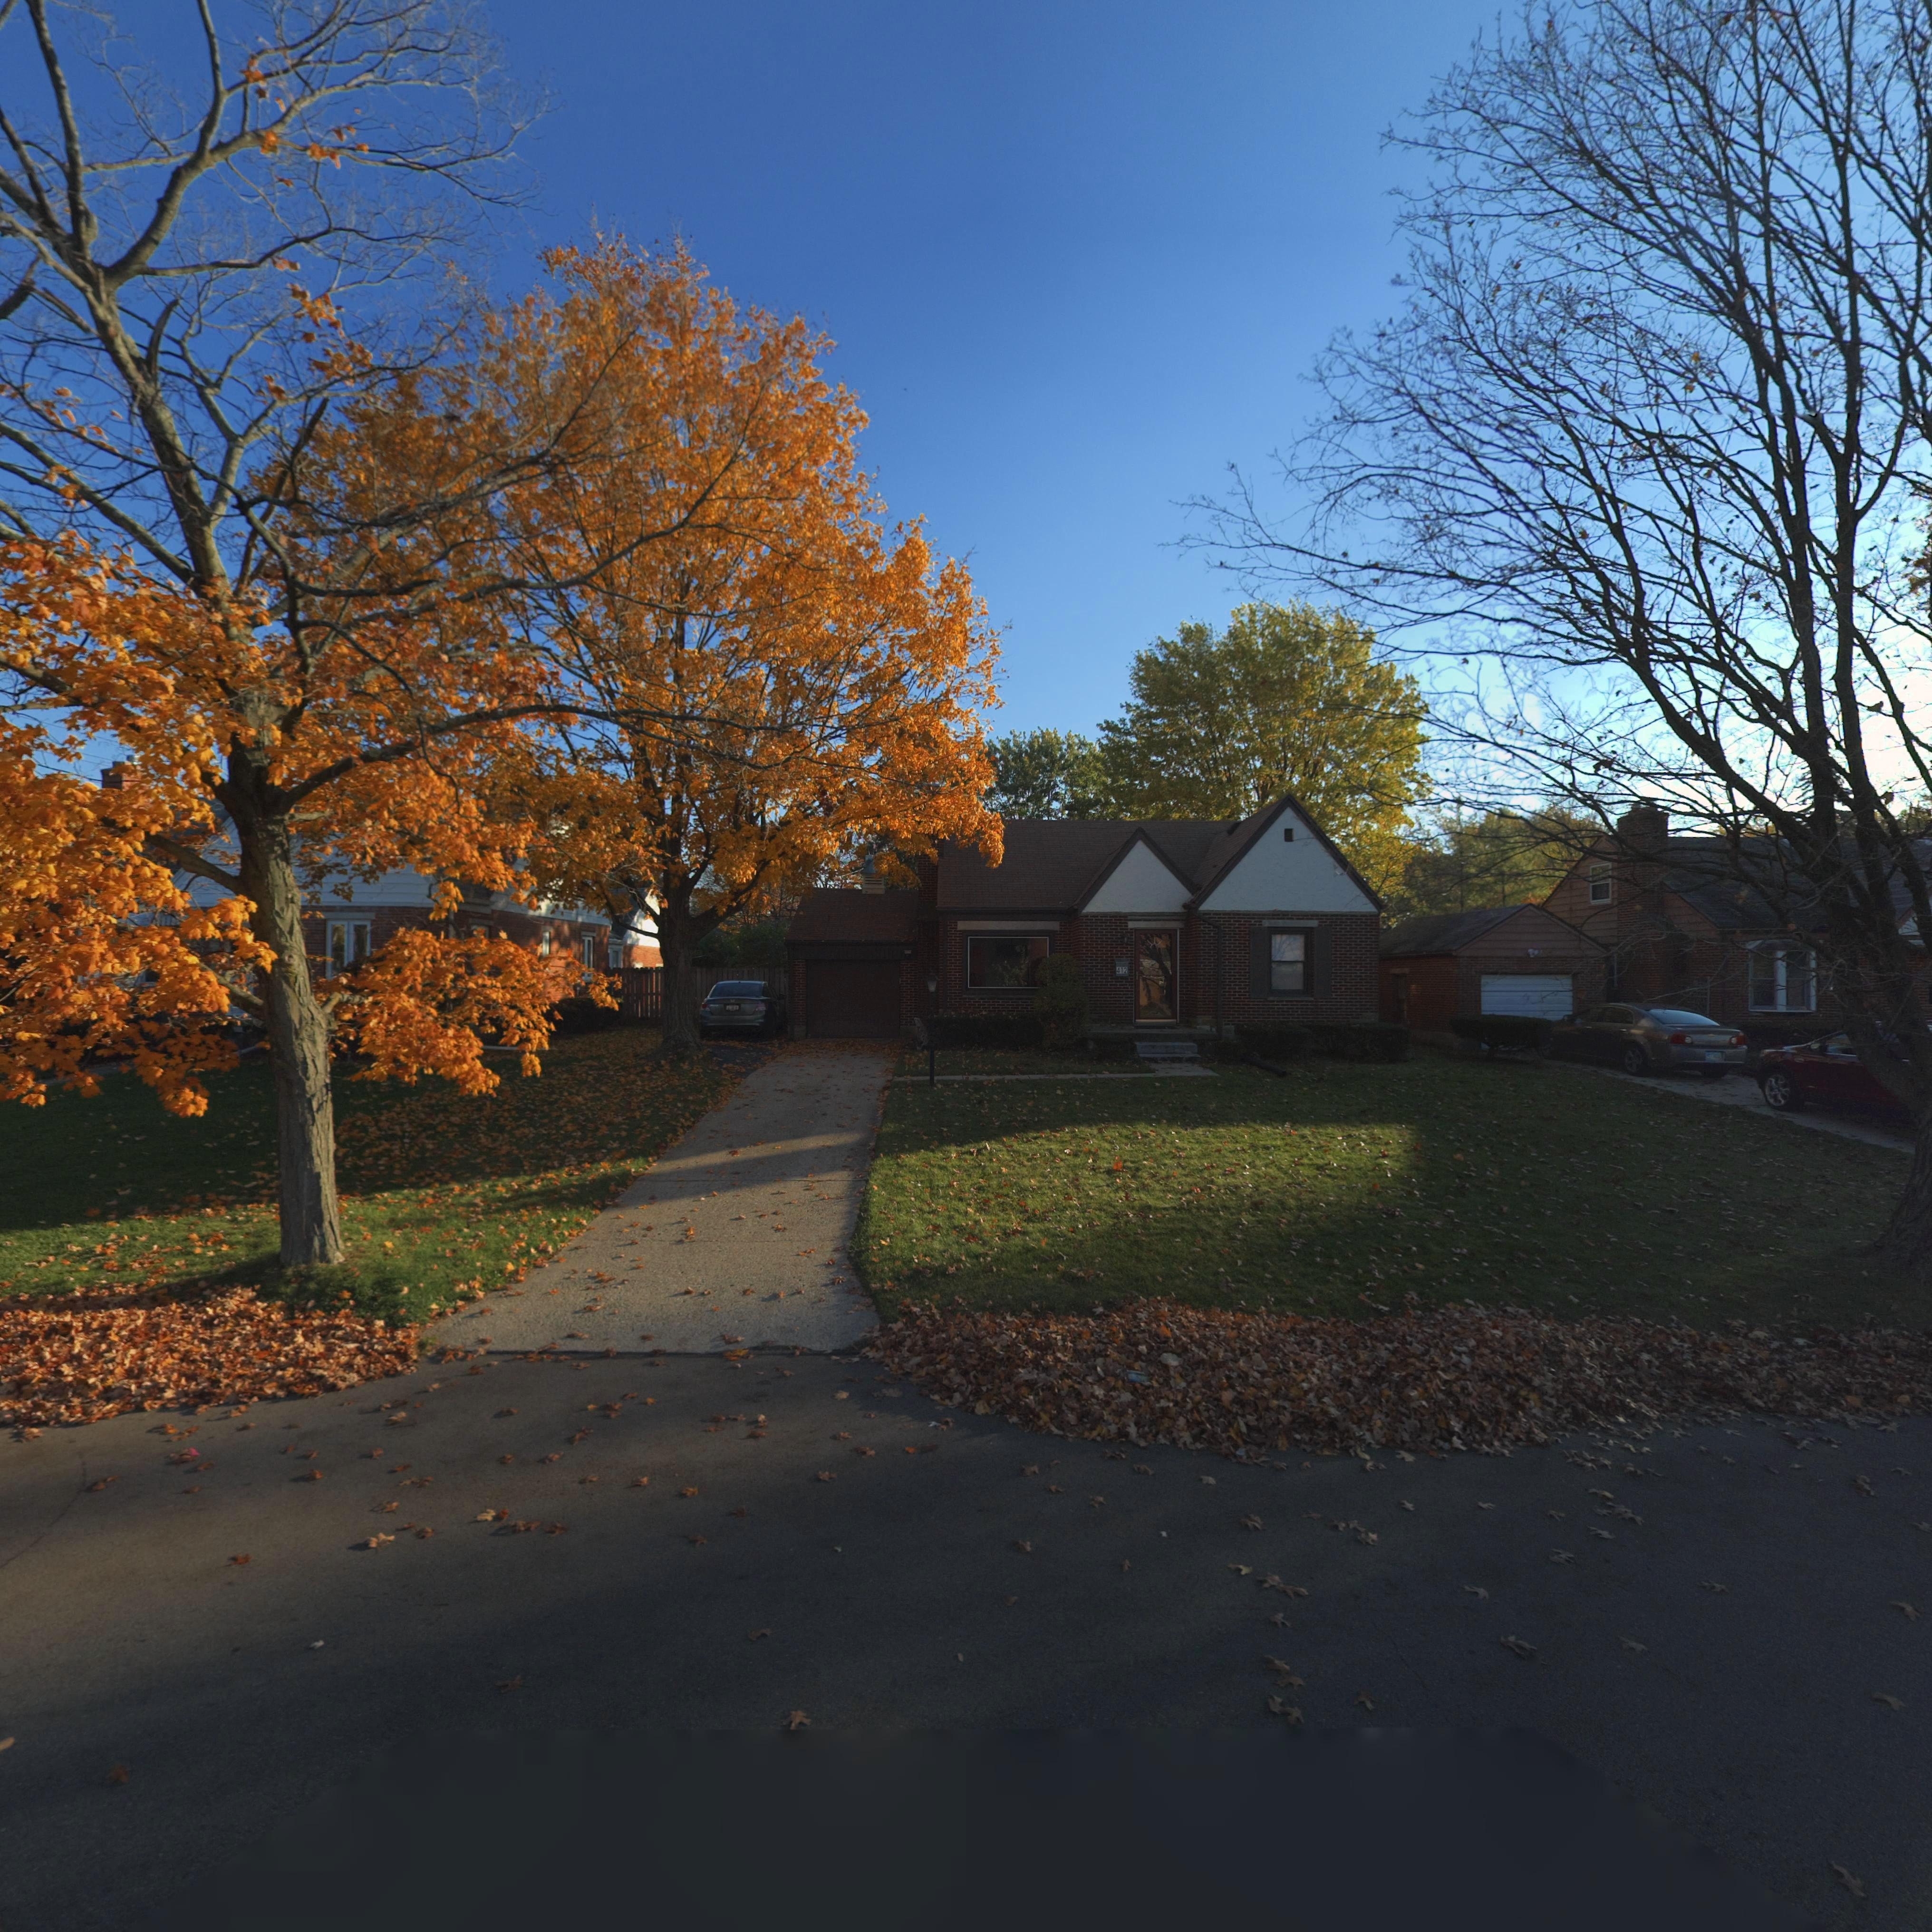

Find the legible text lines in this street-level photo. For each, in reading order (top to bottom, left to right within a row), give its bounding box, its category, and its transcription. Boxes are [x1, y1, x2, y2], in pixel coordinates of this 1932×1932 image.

[1115, 966, 1128, 974] StreetNumber: 412